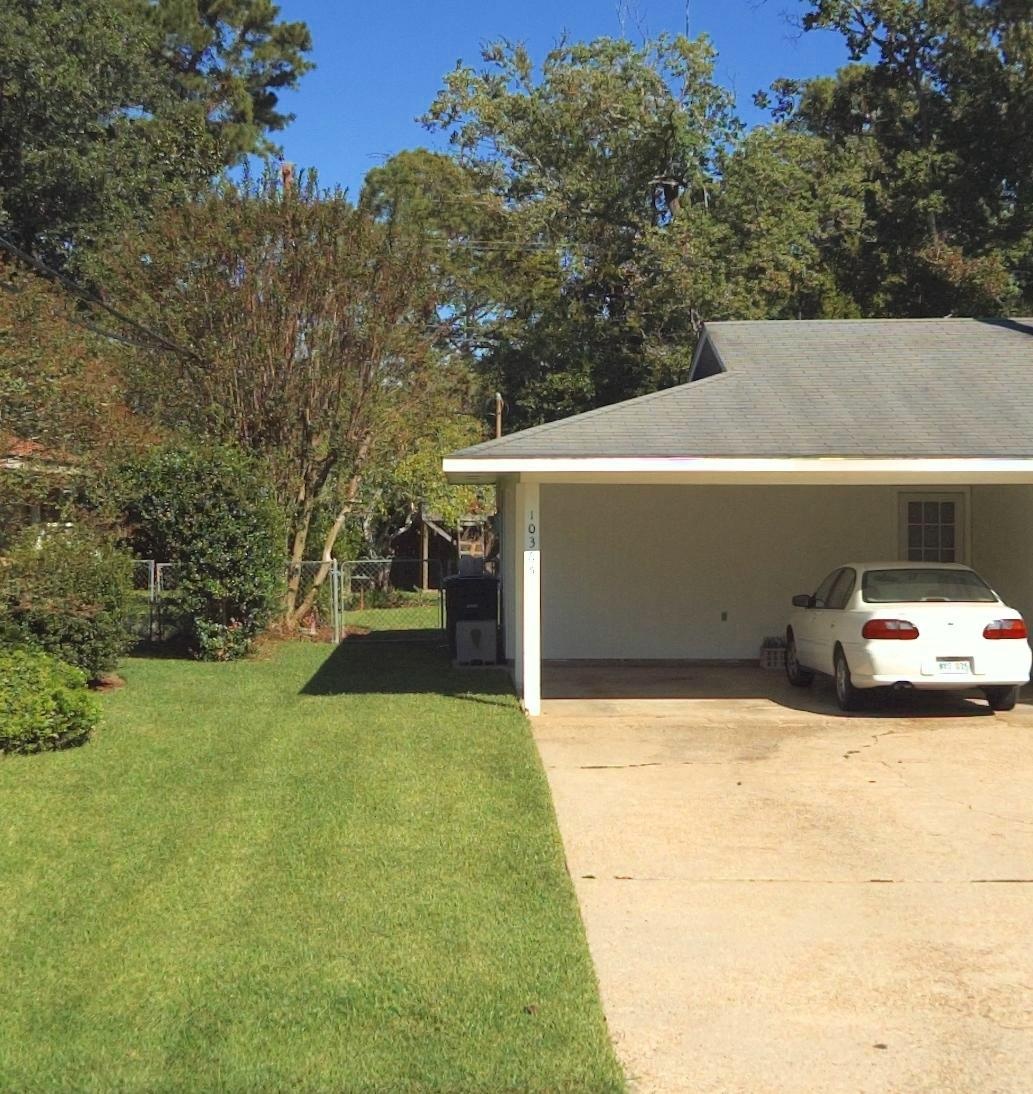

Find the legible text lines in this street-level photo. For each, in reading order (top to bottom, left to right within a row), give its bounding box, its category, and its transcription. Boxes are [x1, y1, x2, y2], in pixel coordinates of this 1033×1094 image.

[525, 508, 538, 579] StreetNumber: 1036*